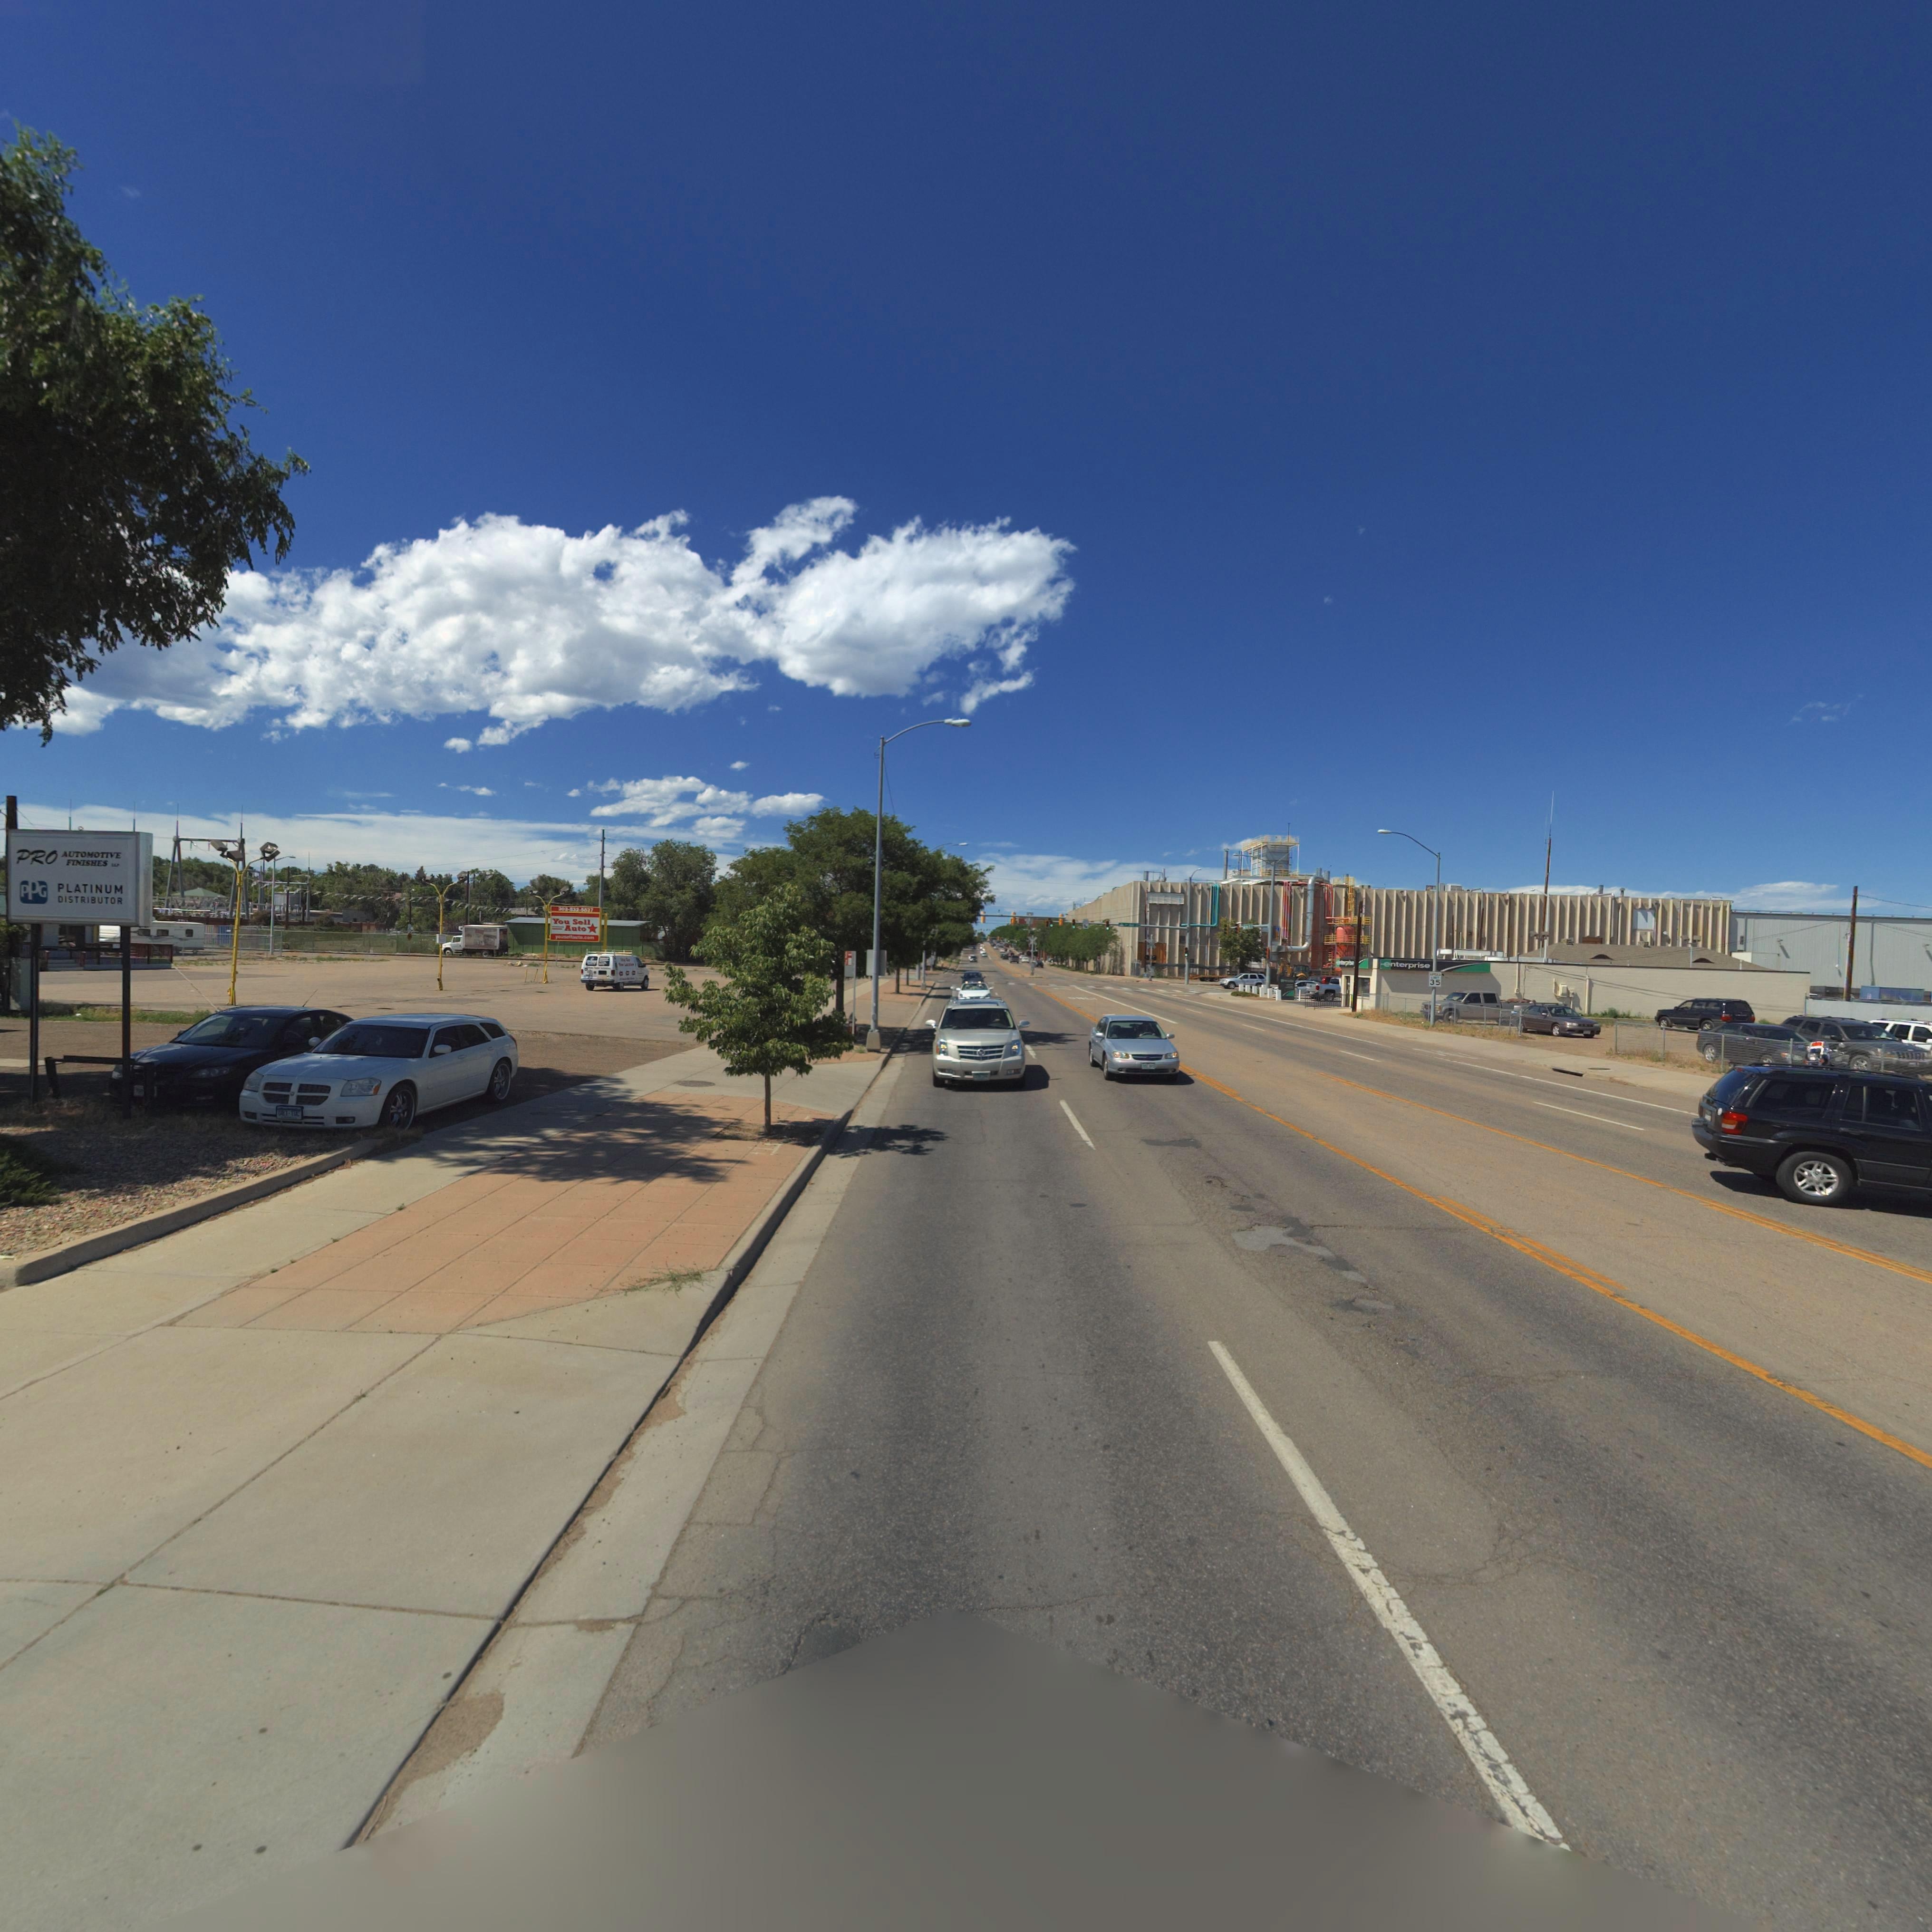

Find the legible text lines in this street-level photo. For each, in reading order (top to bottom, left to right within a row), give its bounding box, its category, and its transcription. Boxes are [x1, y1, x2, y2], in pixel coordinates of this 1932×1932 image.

[16, 848, 58, 865] BusinessName: PRO
[60, 850, 122, 859] BusinessName: AUTOMOTIVE
[65, 859, 108, 867] BusinessName: FINISHES
[111, 862, 120, 867] BusinessName: *LP
[552, 918, 590, 925] BusinessName: You Sell
[564, 925, 587, 932] BusinessName: Auto
[1336, 959, 1354, 966] BusinessName: e*terprise
[1383, 962, 1430, 969] BusinessName: enterprise